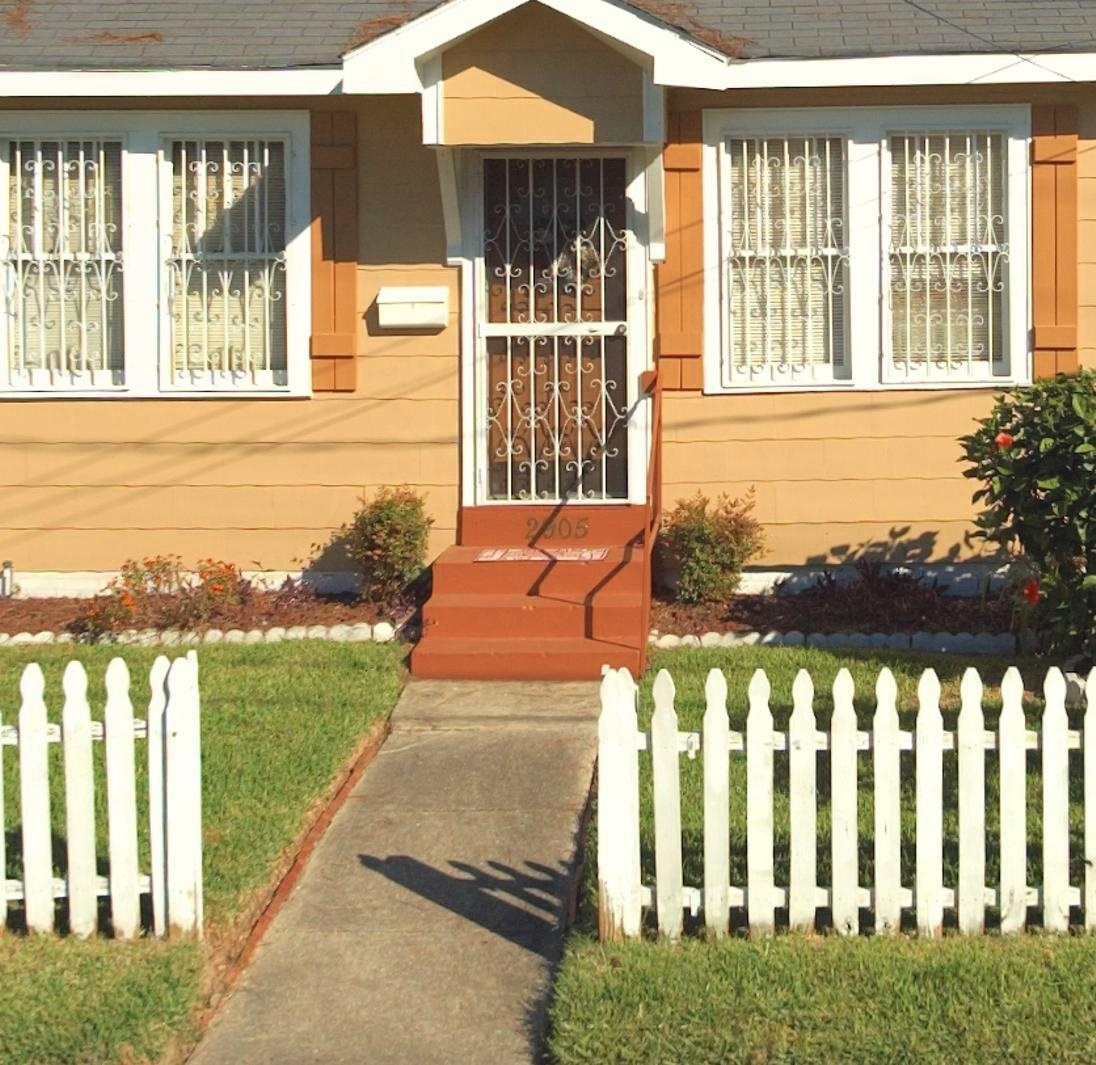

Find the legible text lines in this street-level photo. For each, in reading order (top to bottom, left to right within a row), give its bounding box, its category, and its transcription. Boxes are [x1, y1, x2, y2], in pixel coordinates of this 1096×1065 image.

[523, 514, 592, 542] StreetNumber: 2905